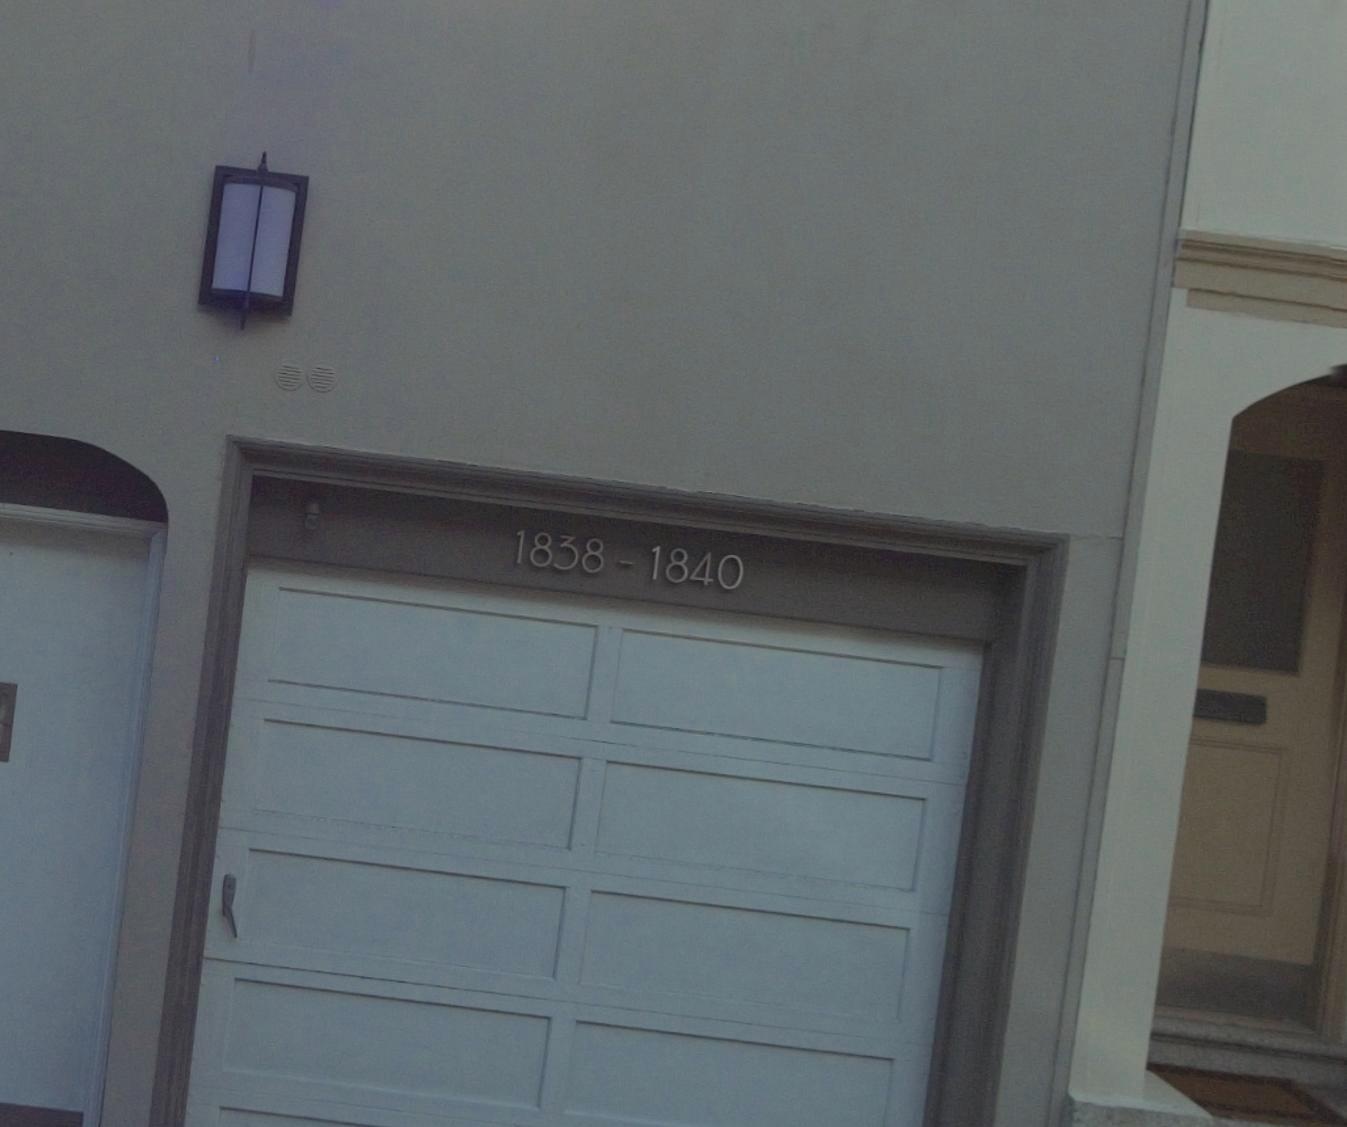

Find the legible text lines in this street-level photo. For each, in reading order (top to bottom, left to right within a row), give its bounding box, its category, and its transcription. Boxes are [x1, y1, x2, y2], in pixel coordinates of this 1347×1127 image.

[511, 525, 748, 594] StreetNumber: 1838-1840